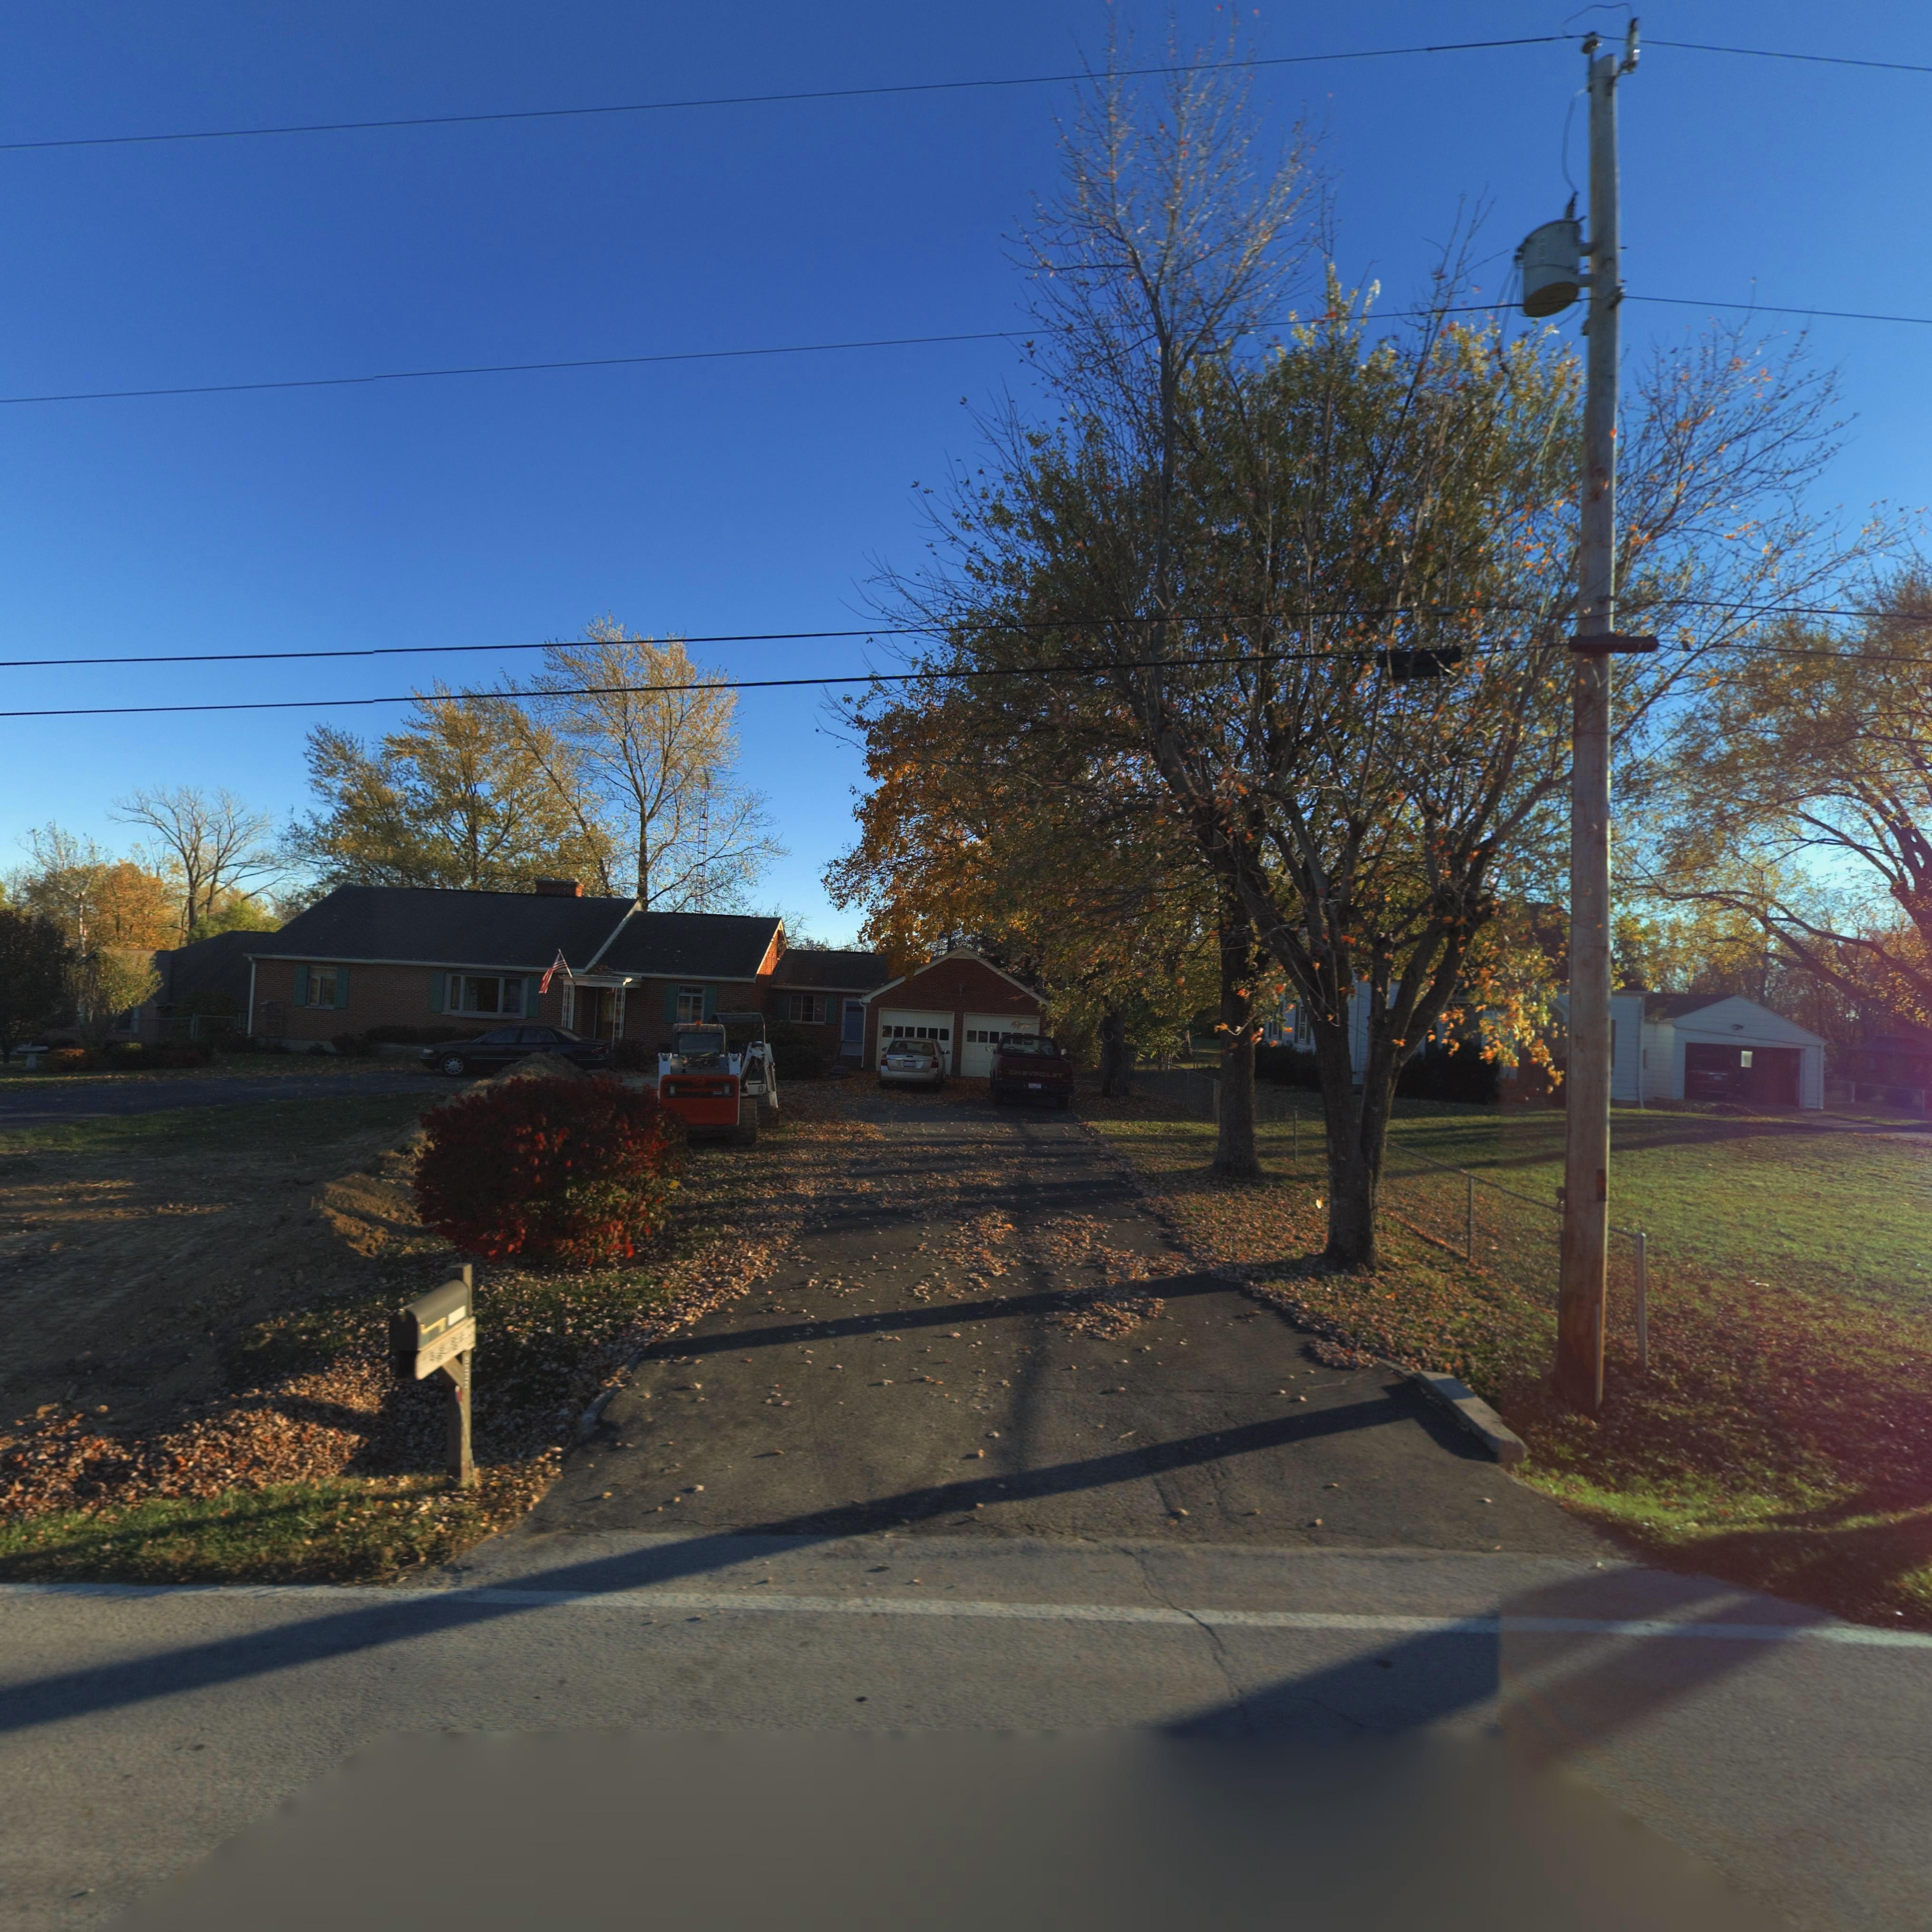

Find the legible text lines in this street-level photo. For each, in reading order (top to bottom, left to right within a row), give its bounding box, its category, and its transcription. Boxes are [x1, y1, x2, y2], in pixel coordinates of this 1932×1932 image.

[464, 1354, 470, 1390] StreetNumber: 5222